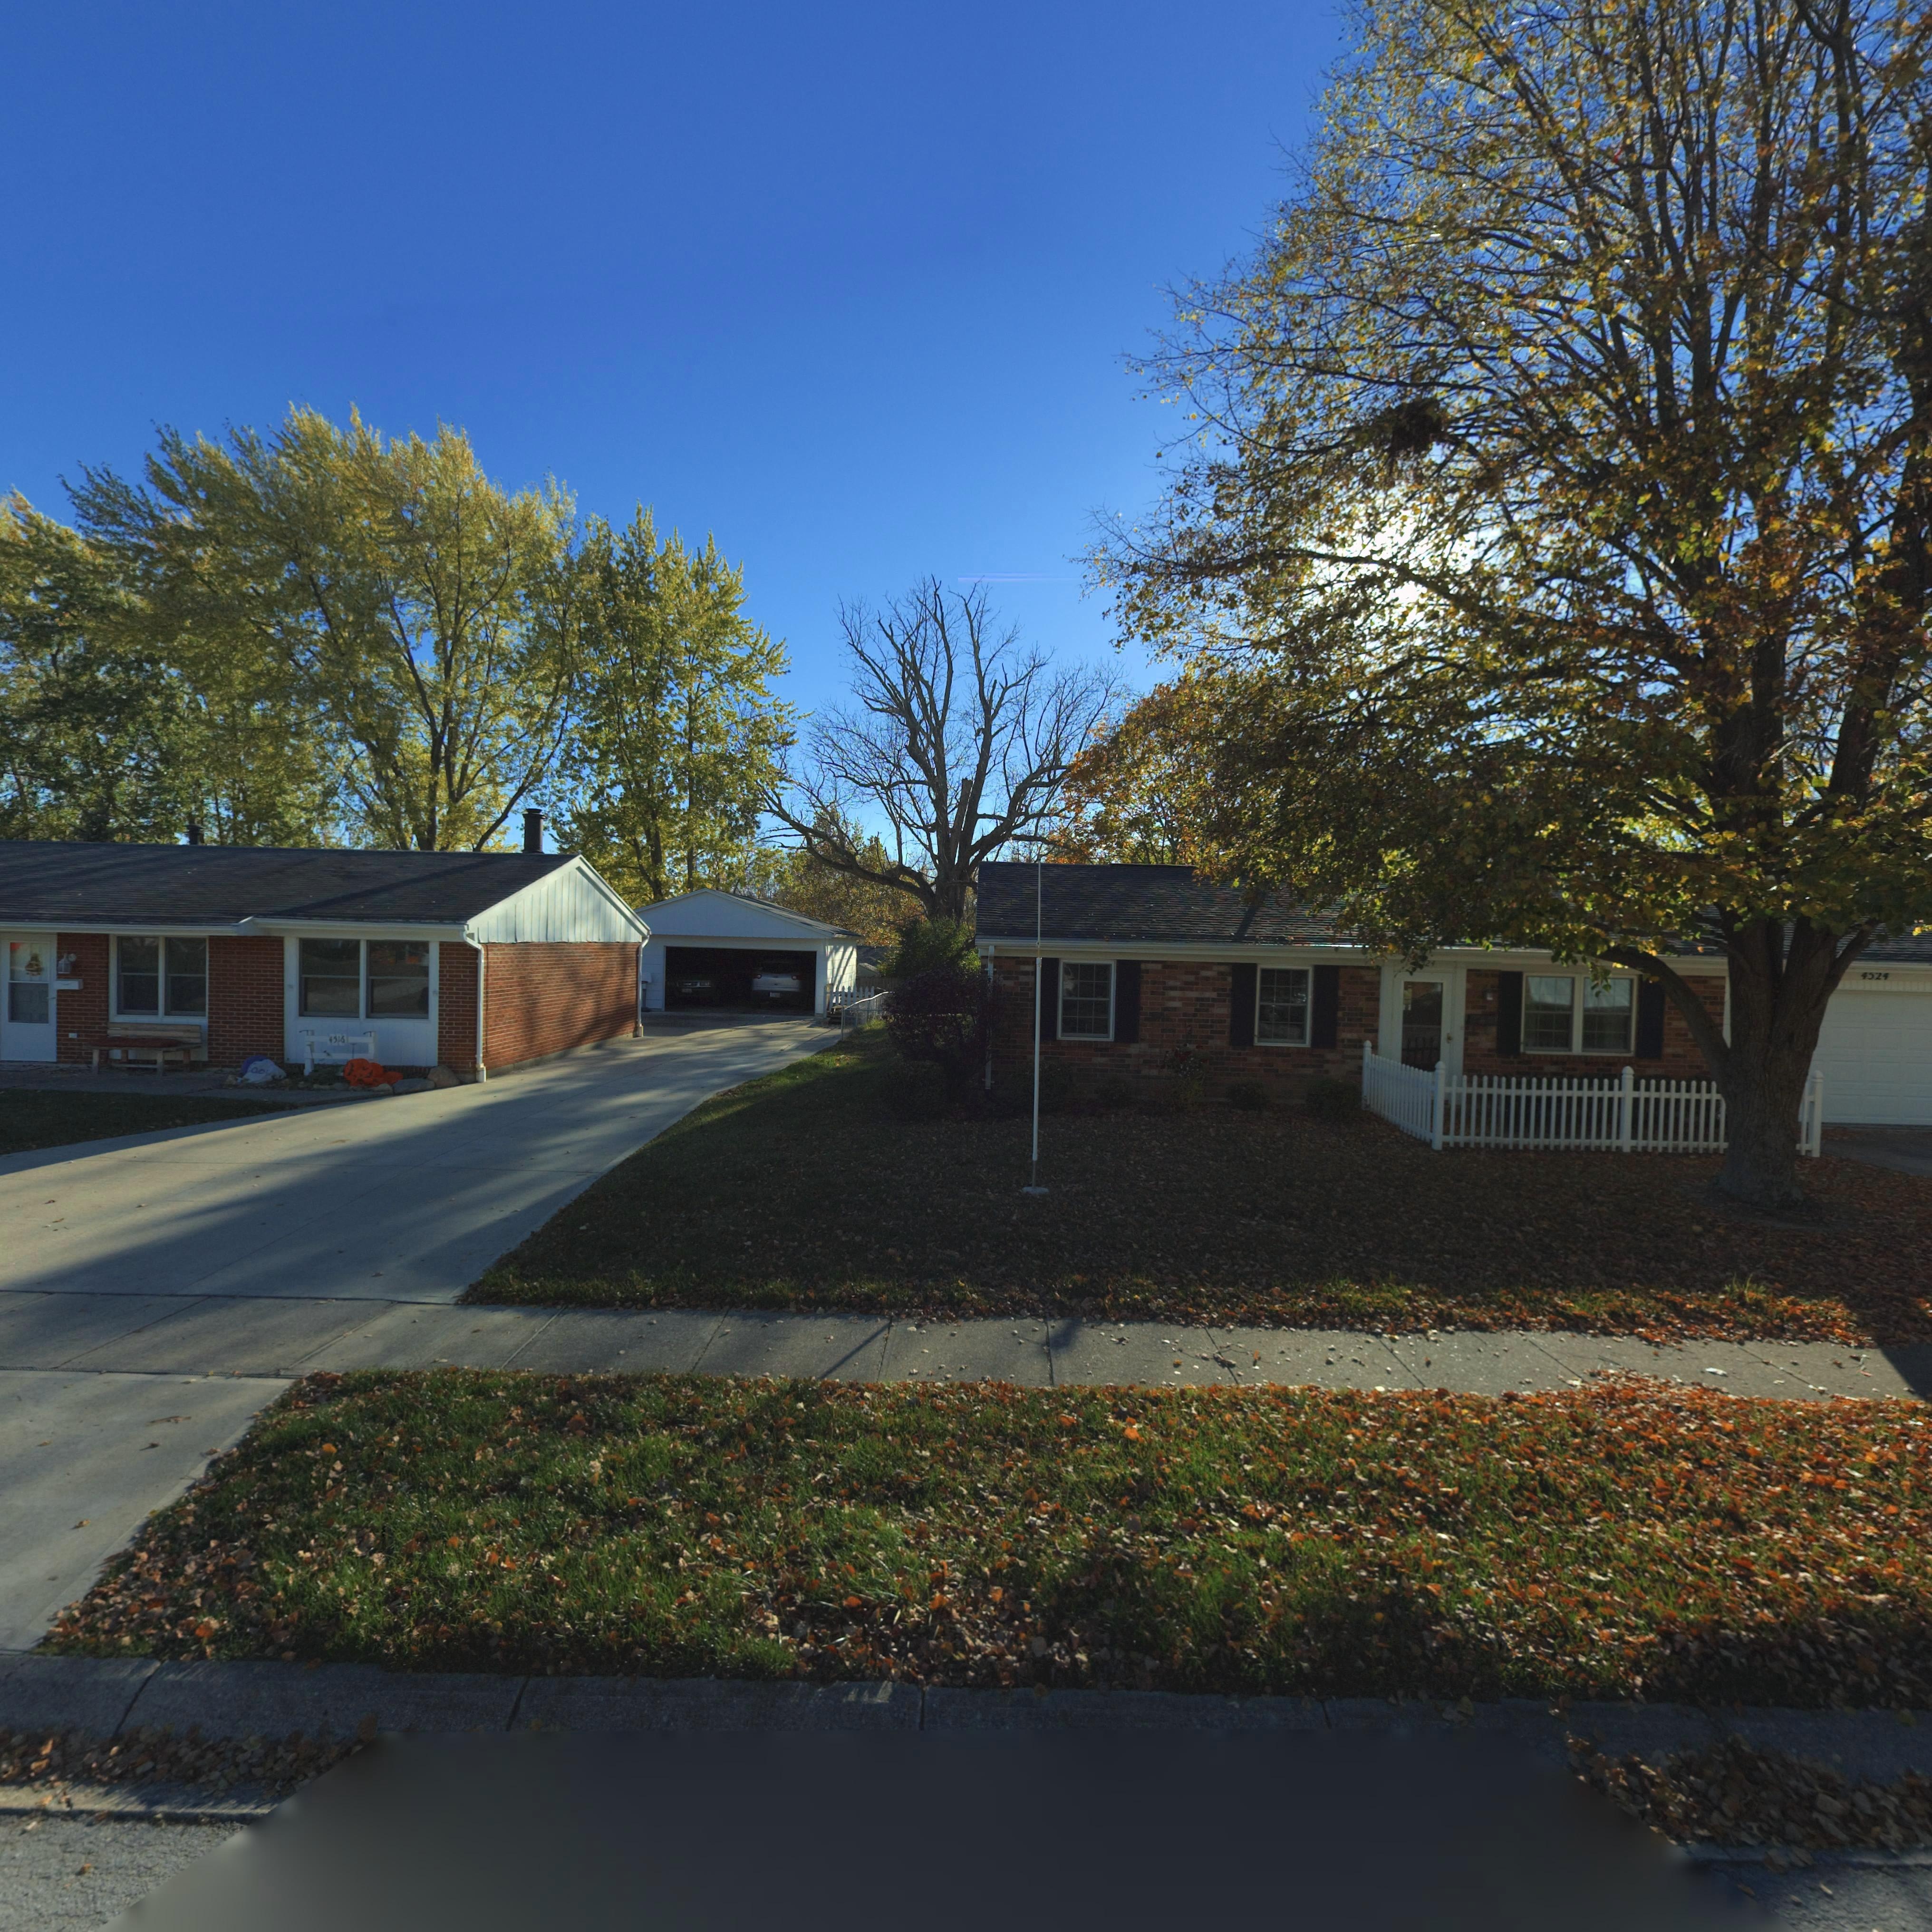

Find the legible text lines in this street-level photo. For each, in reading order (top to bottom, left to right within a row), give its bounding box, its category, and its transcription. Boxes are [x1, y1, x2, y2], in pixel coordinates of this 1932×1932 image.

[1860, 972, 1890, 980] StreetNumber: 4524
[328, 1035, 345, 1043] StreetNumber: 4516